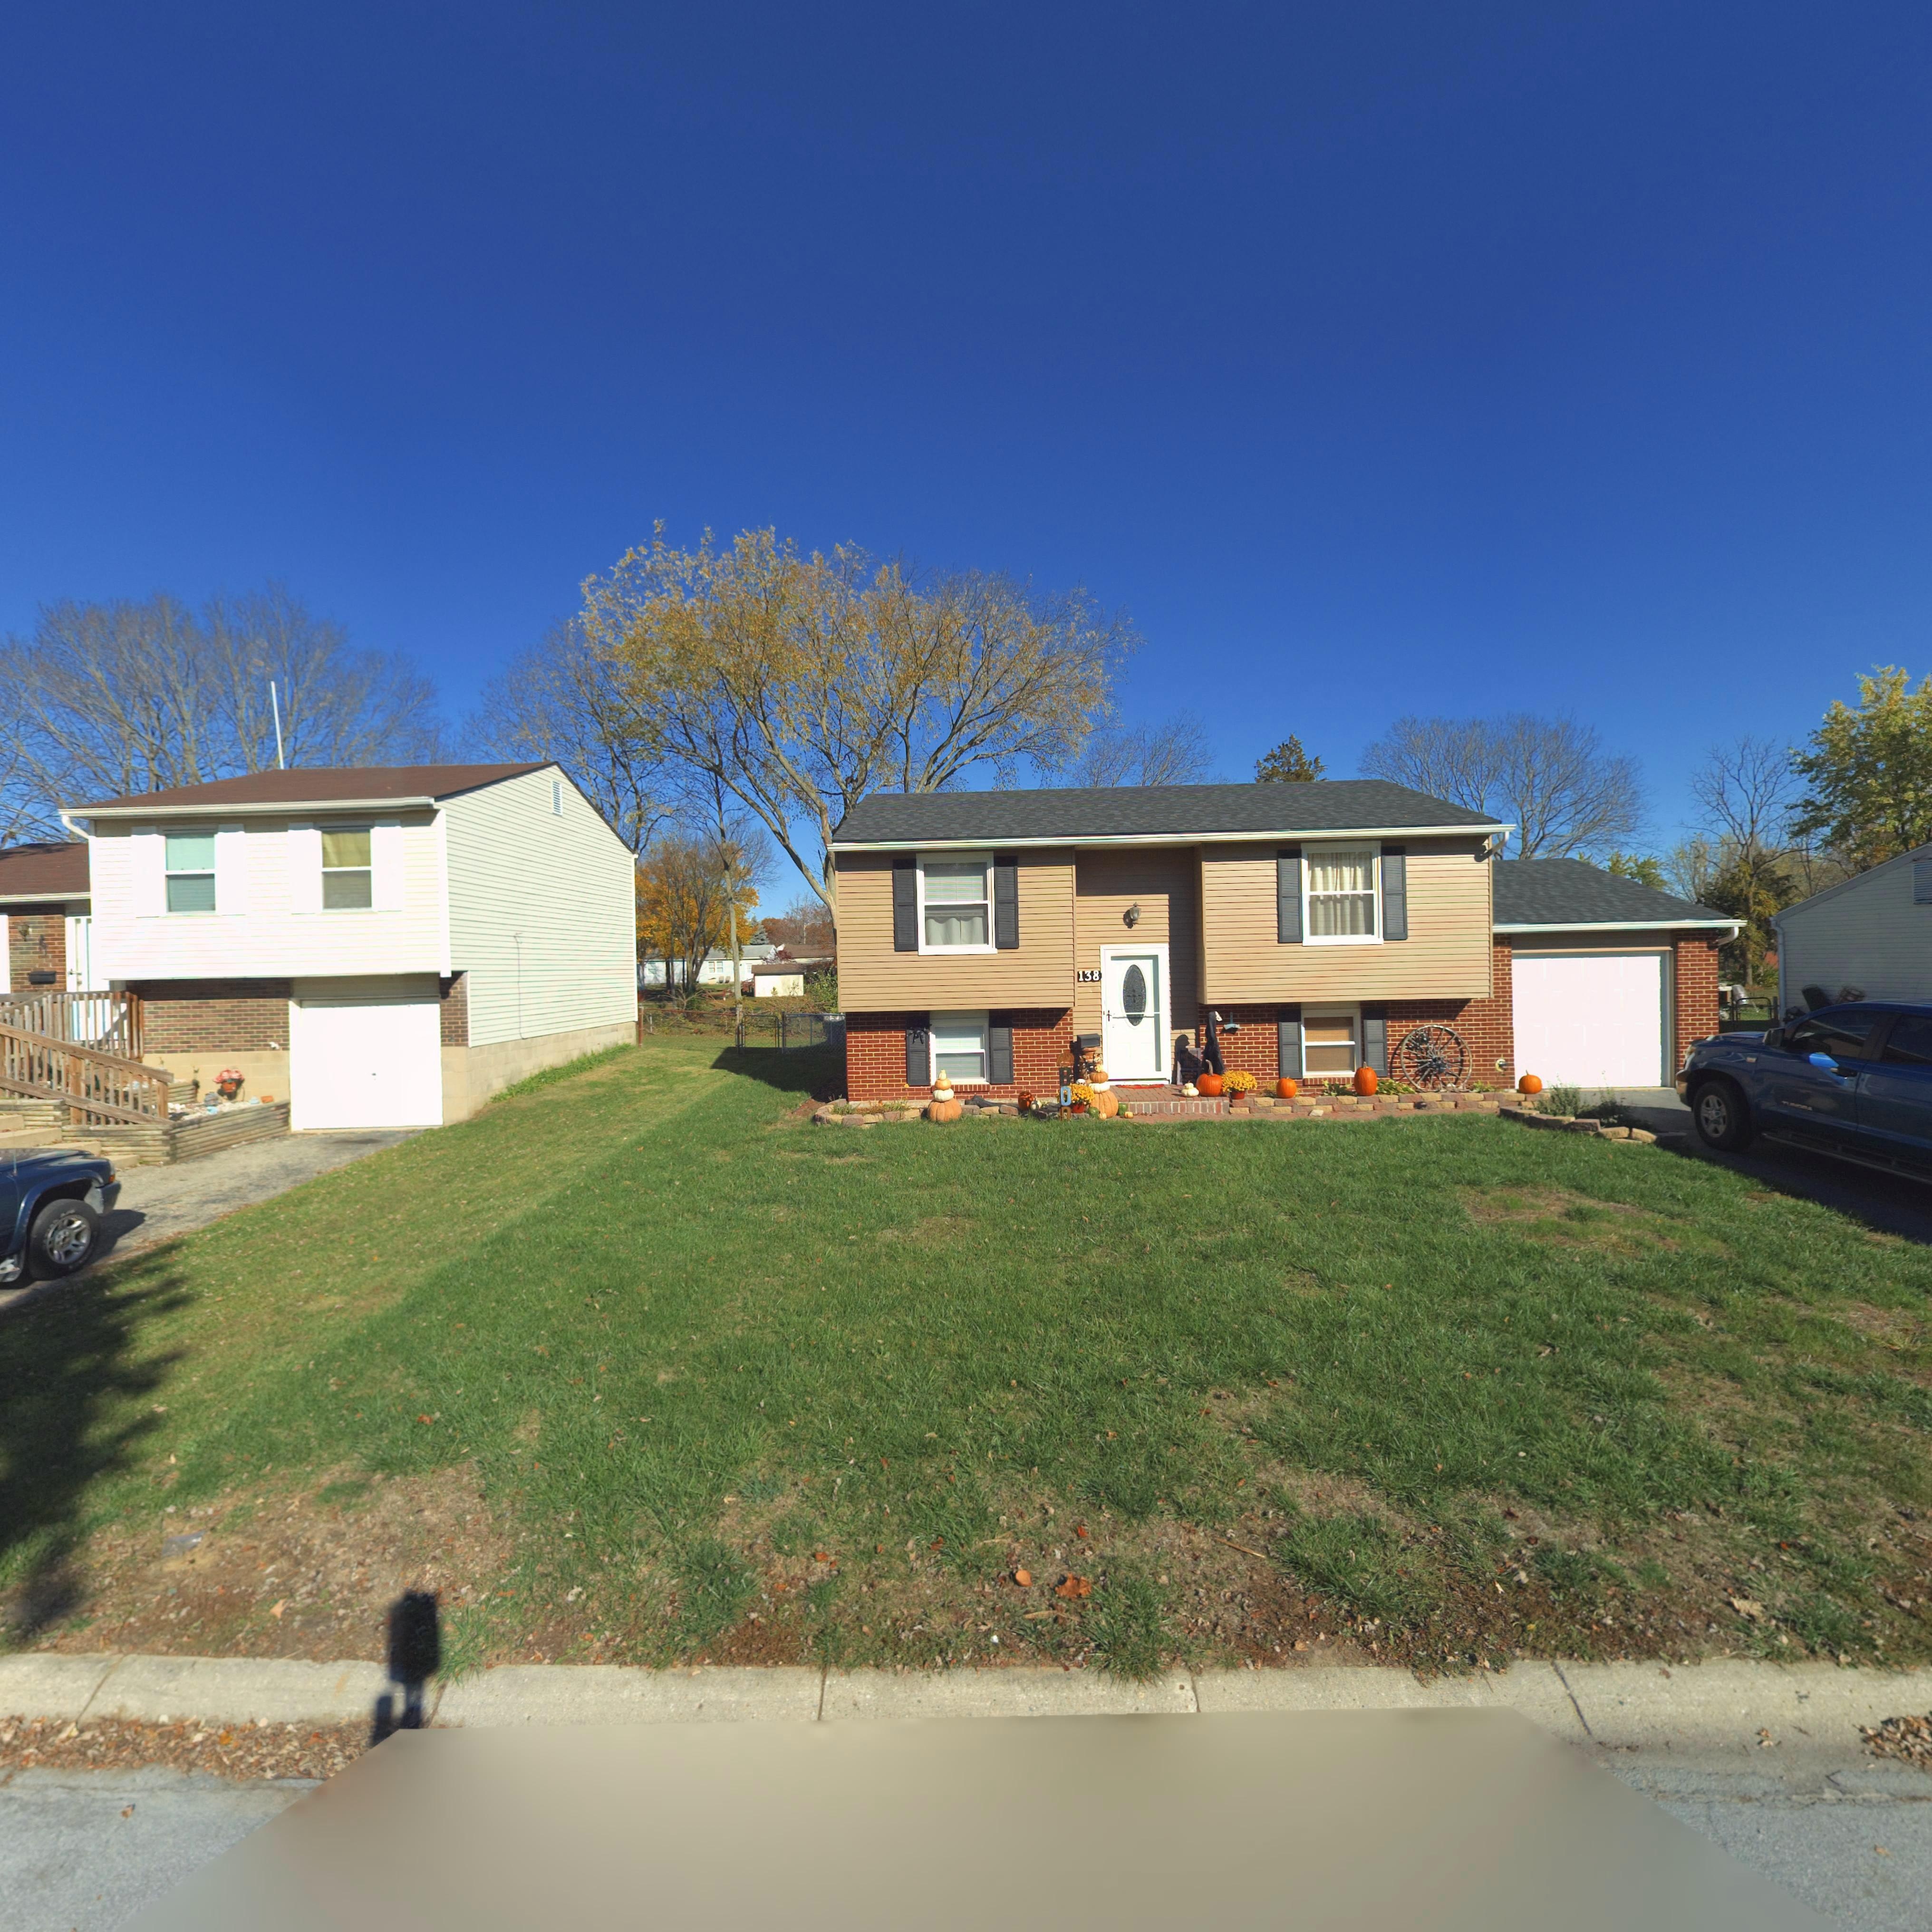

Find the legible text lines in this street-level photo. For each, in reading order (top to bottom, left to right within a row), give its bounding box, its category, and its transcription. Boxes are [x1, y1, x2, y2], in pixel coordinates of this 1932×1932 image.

[1078, 970, 1100, 982] StreetNumber: 138